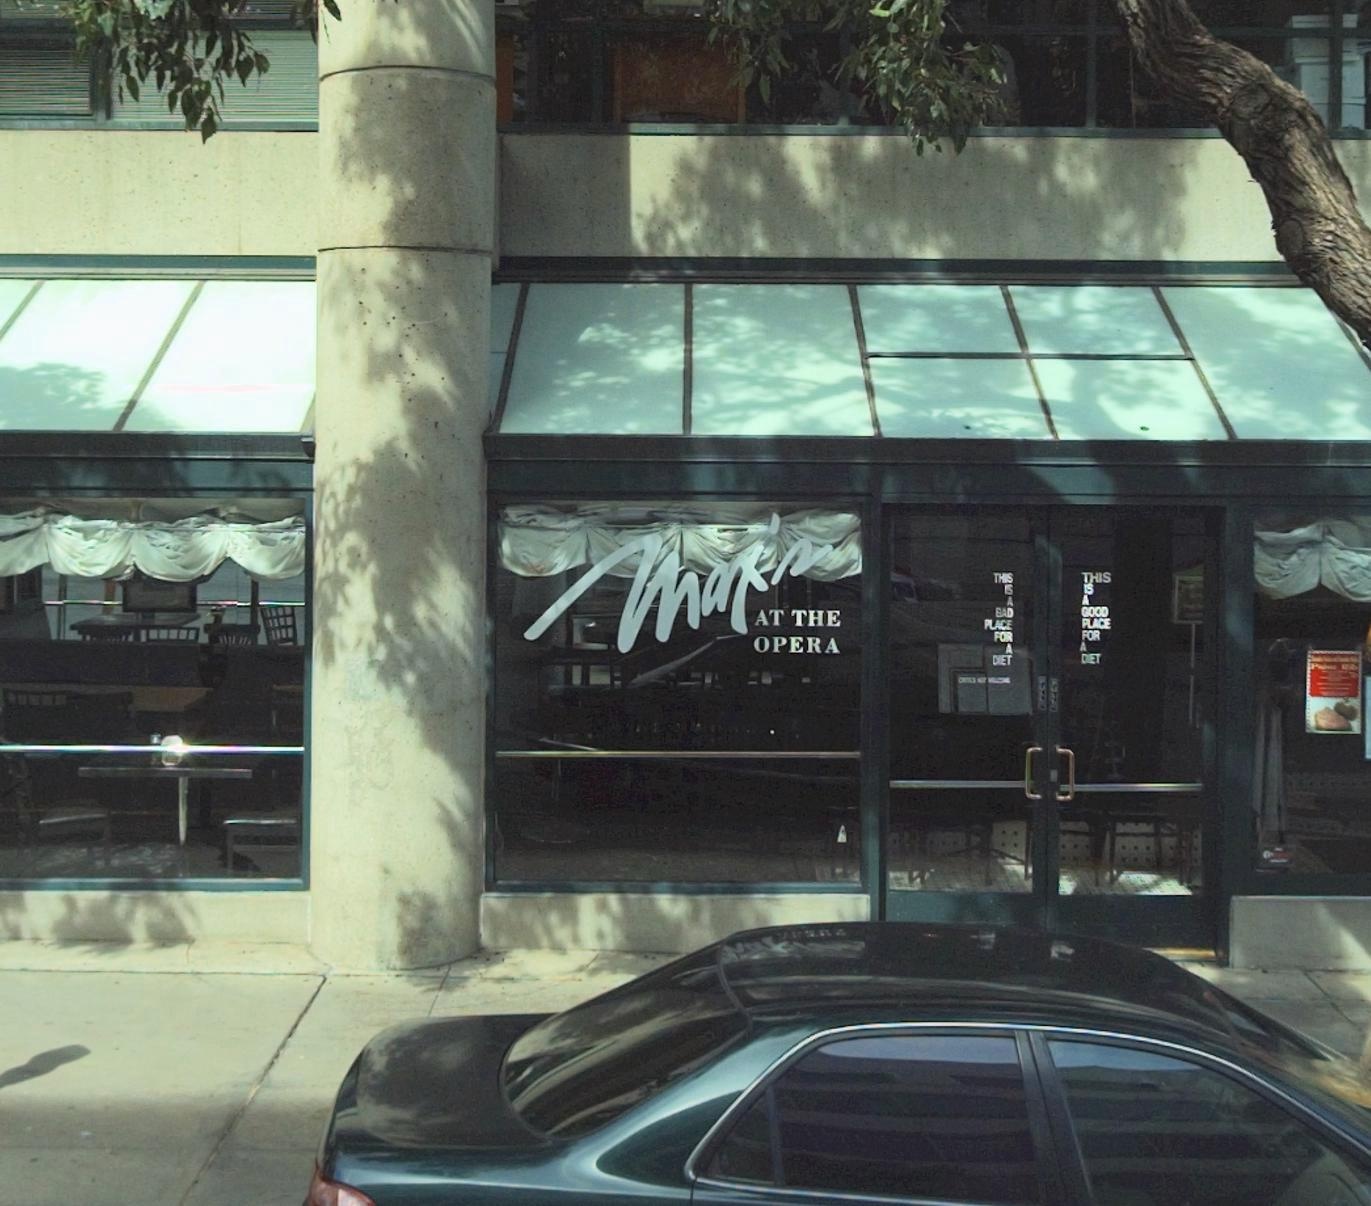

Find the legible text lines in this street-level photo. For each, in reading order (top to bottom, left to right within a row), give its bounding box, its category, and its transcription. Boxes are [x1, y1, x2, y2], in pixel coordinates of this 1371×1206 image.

[520, 510, 842, 657] BusinessName: Max's
[991, 570, 1015, 585] None: THIS
[1002, 583, 1014, 597] None: IS
[1080, 581, 1097, 598] None: IS
[1078, 570, 1114, 585] None: THIS
[1005, 594, 1016, 608] None: A
[1078, 592, 1092, 607] None: A
[749, 605, 843, 631] None: AT THE
[982, 617, 1015, 631] None: PLACE
[992, 605, 1016, 621] None: BAD
[1078, 604, 1112, 618] None: GOOD
[1080, 616, 1113, 631] None: PLACE
[992, 630, 1016, 644] None: FOR
[1079, 628, 1103, 644] None: FOR
[751, 635, 845, 655] None: OPERA
[1003, 640, 1016, 656] None: A
[1076, 639, 1090, 654] None: A
[990, 653, 1016, 670] None: DIET
[1079, 651, 1105, 667] None: DIET